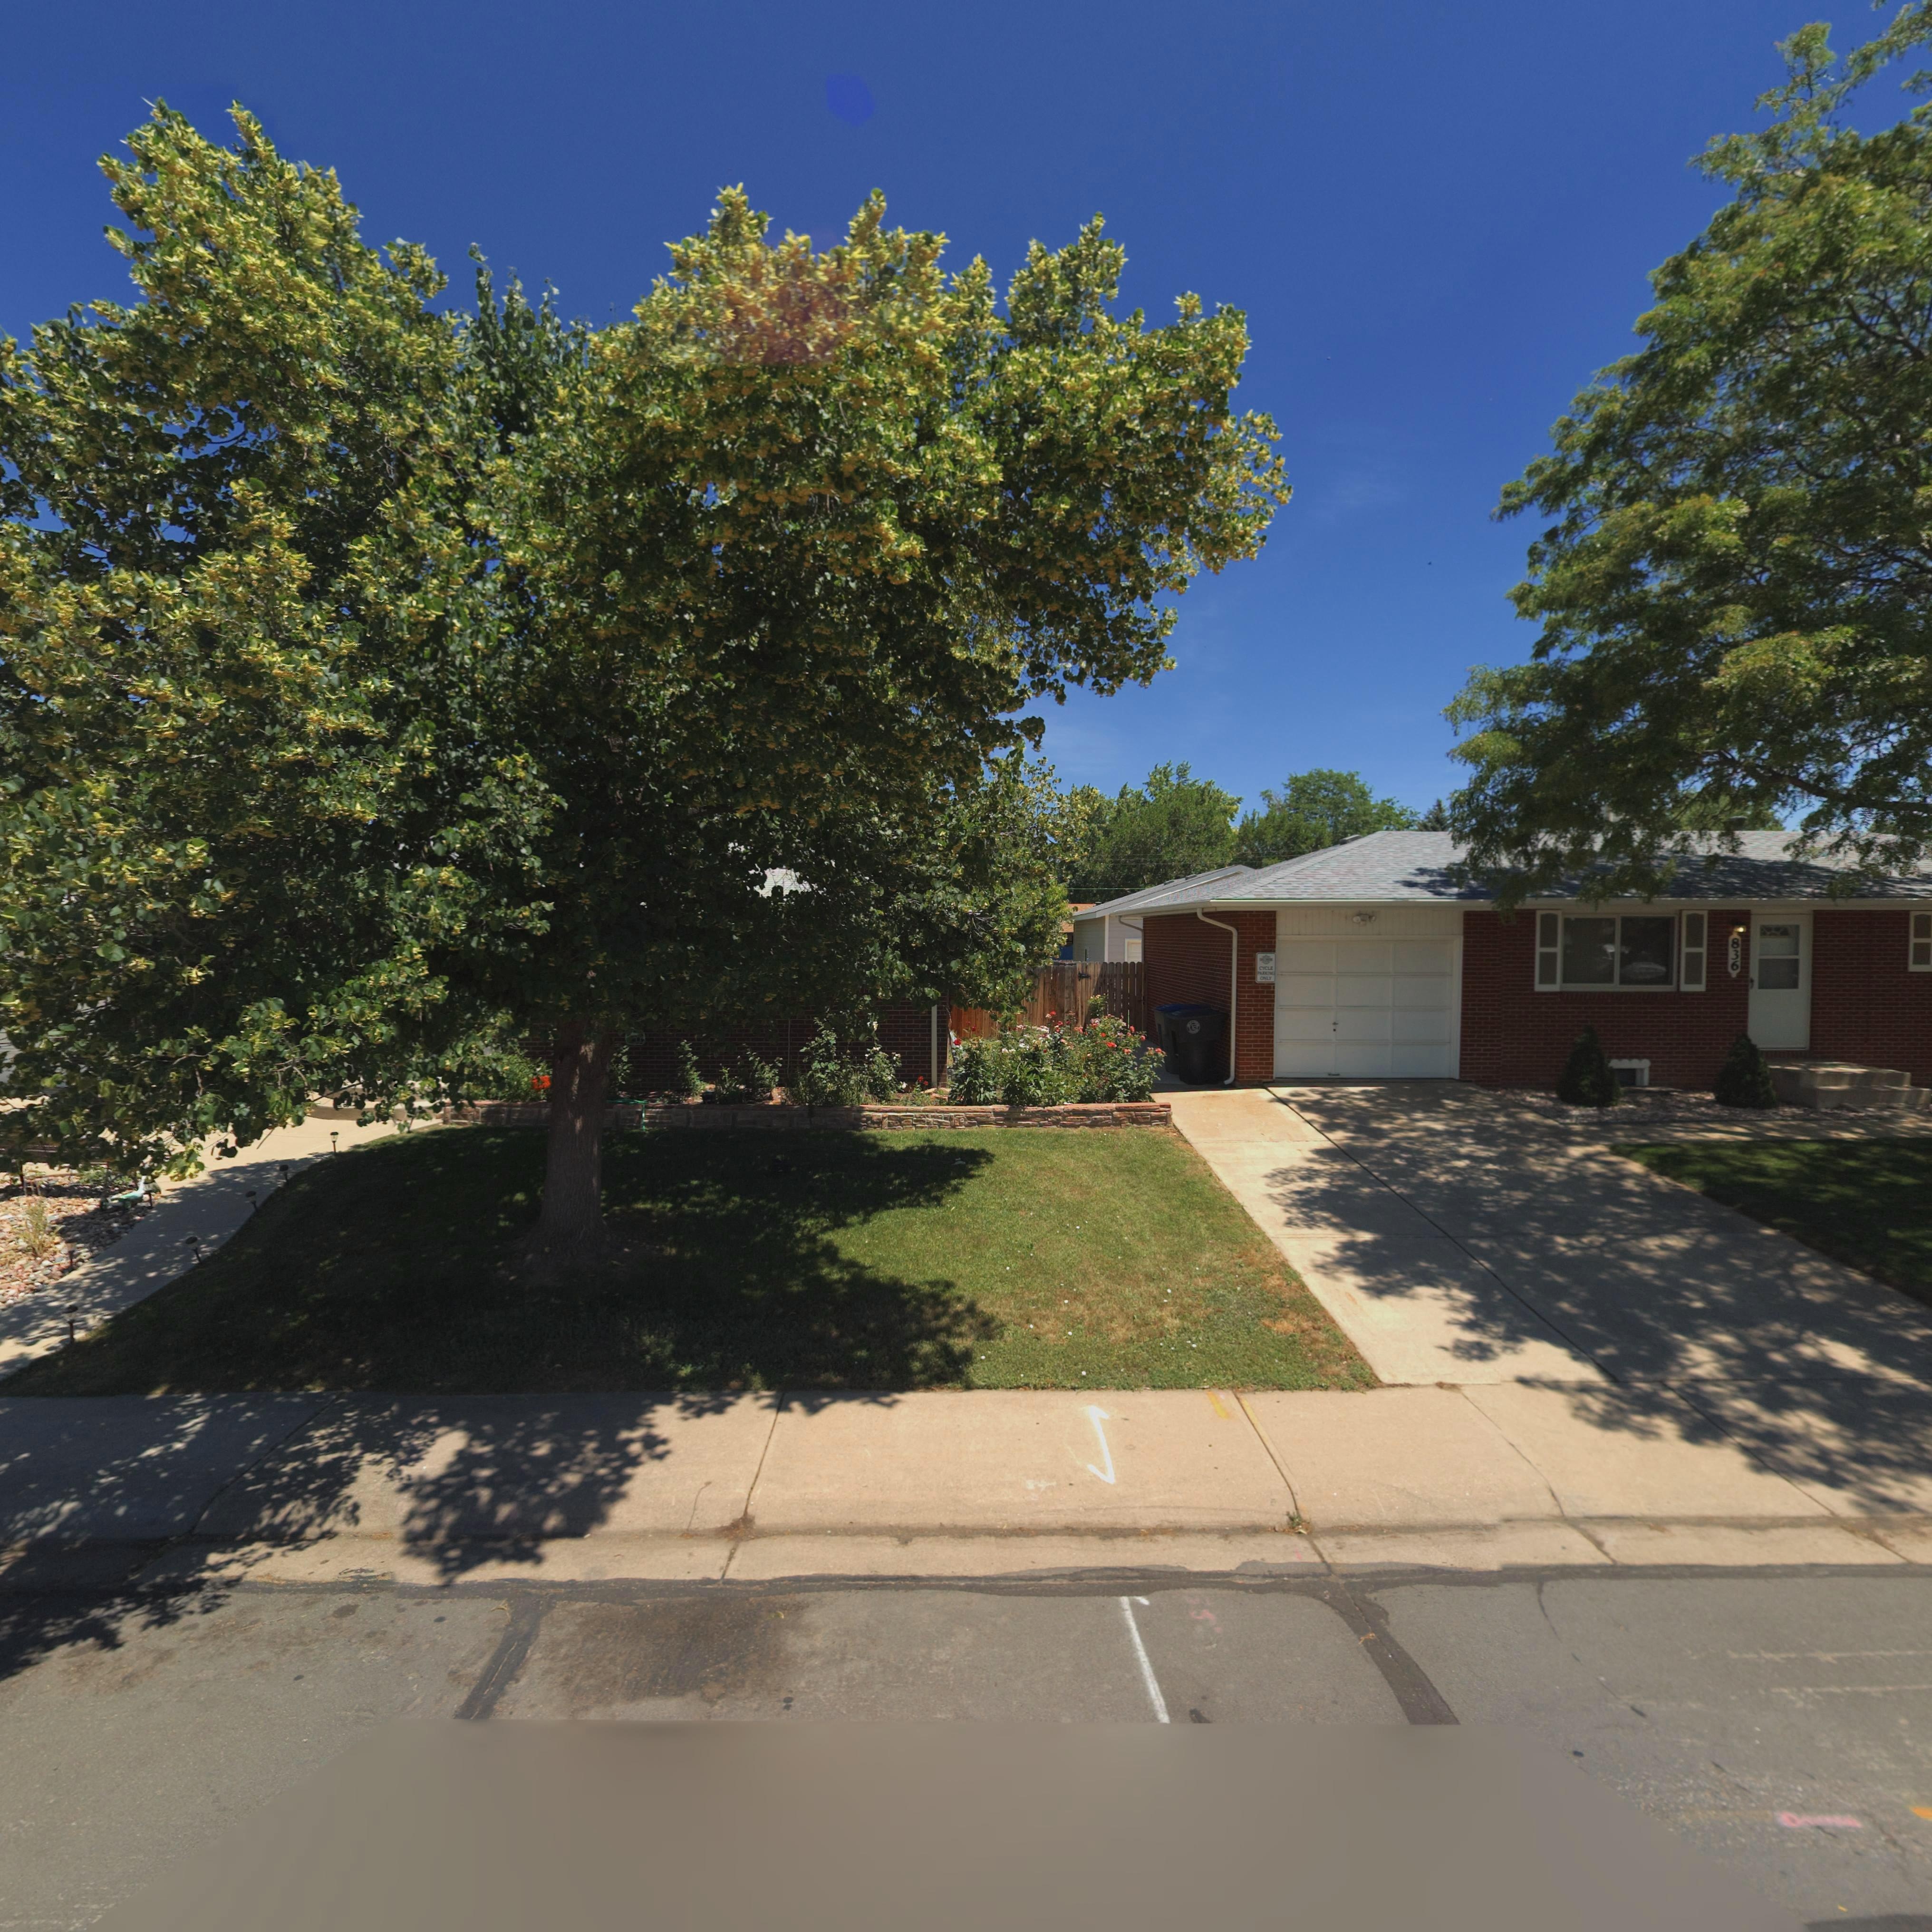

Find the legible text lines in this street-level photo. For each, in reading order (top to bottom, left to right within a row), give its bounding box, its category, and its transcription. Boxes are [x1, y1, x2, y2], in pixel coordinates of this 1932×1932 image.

[1730, 937, 1739, 971] StreetNumber: 836